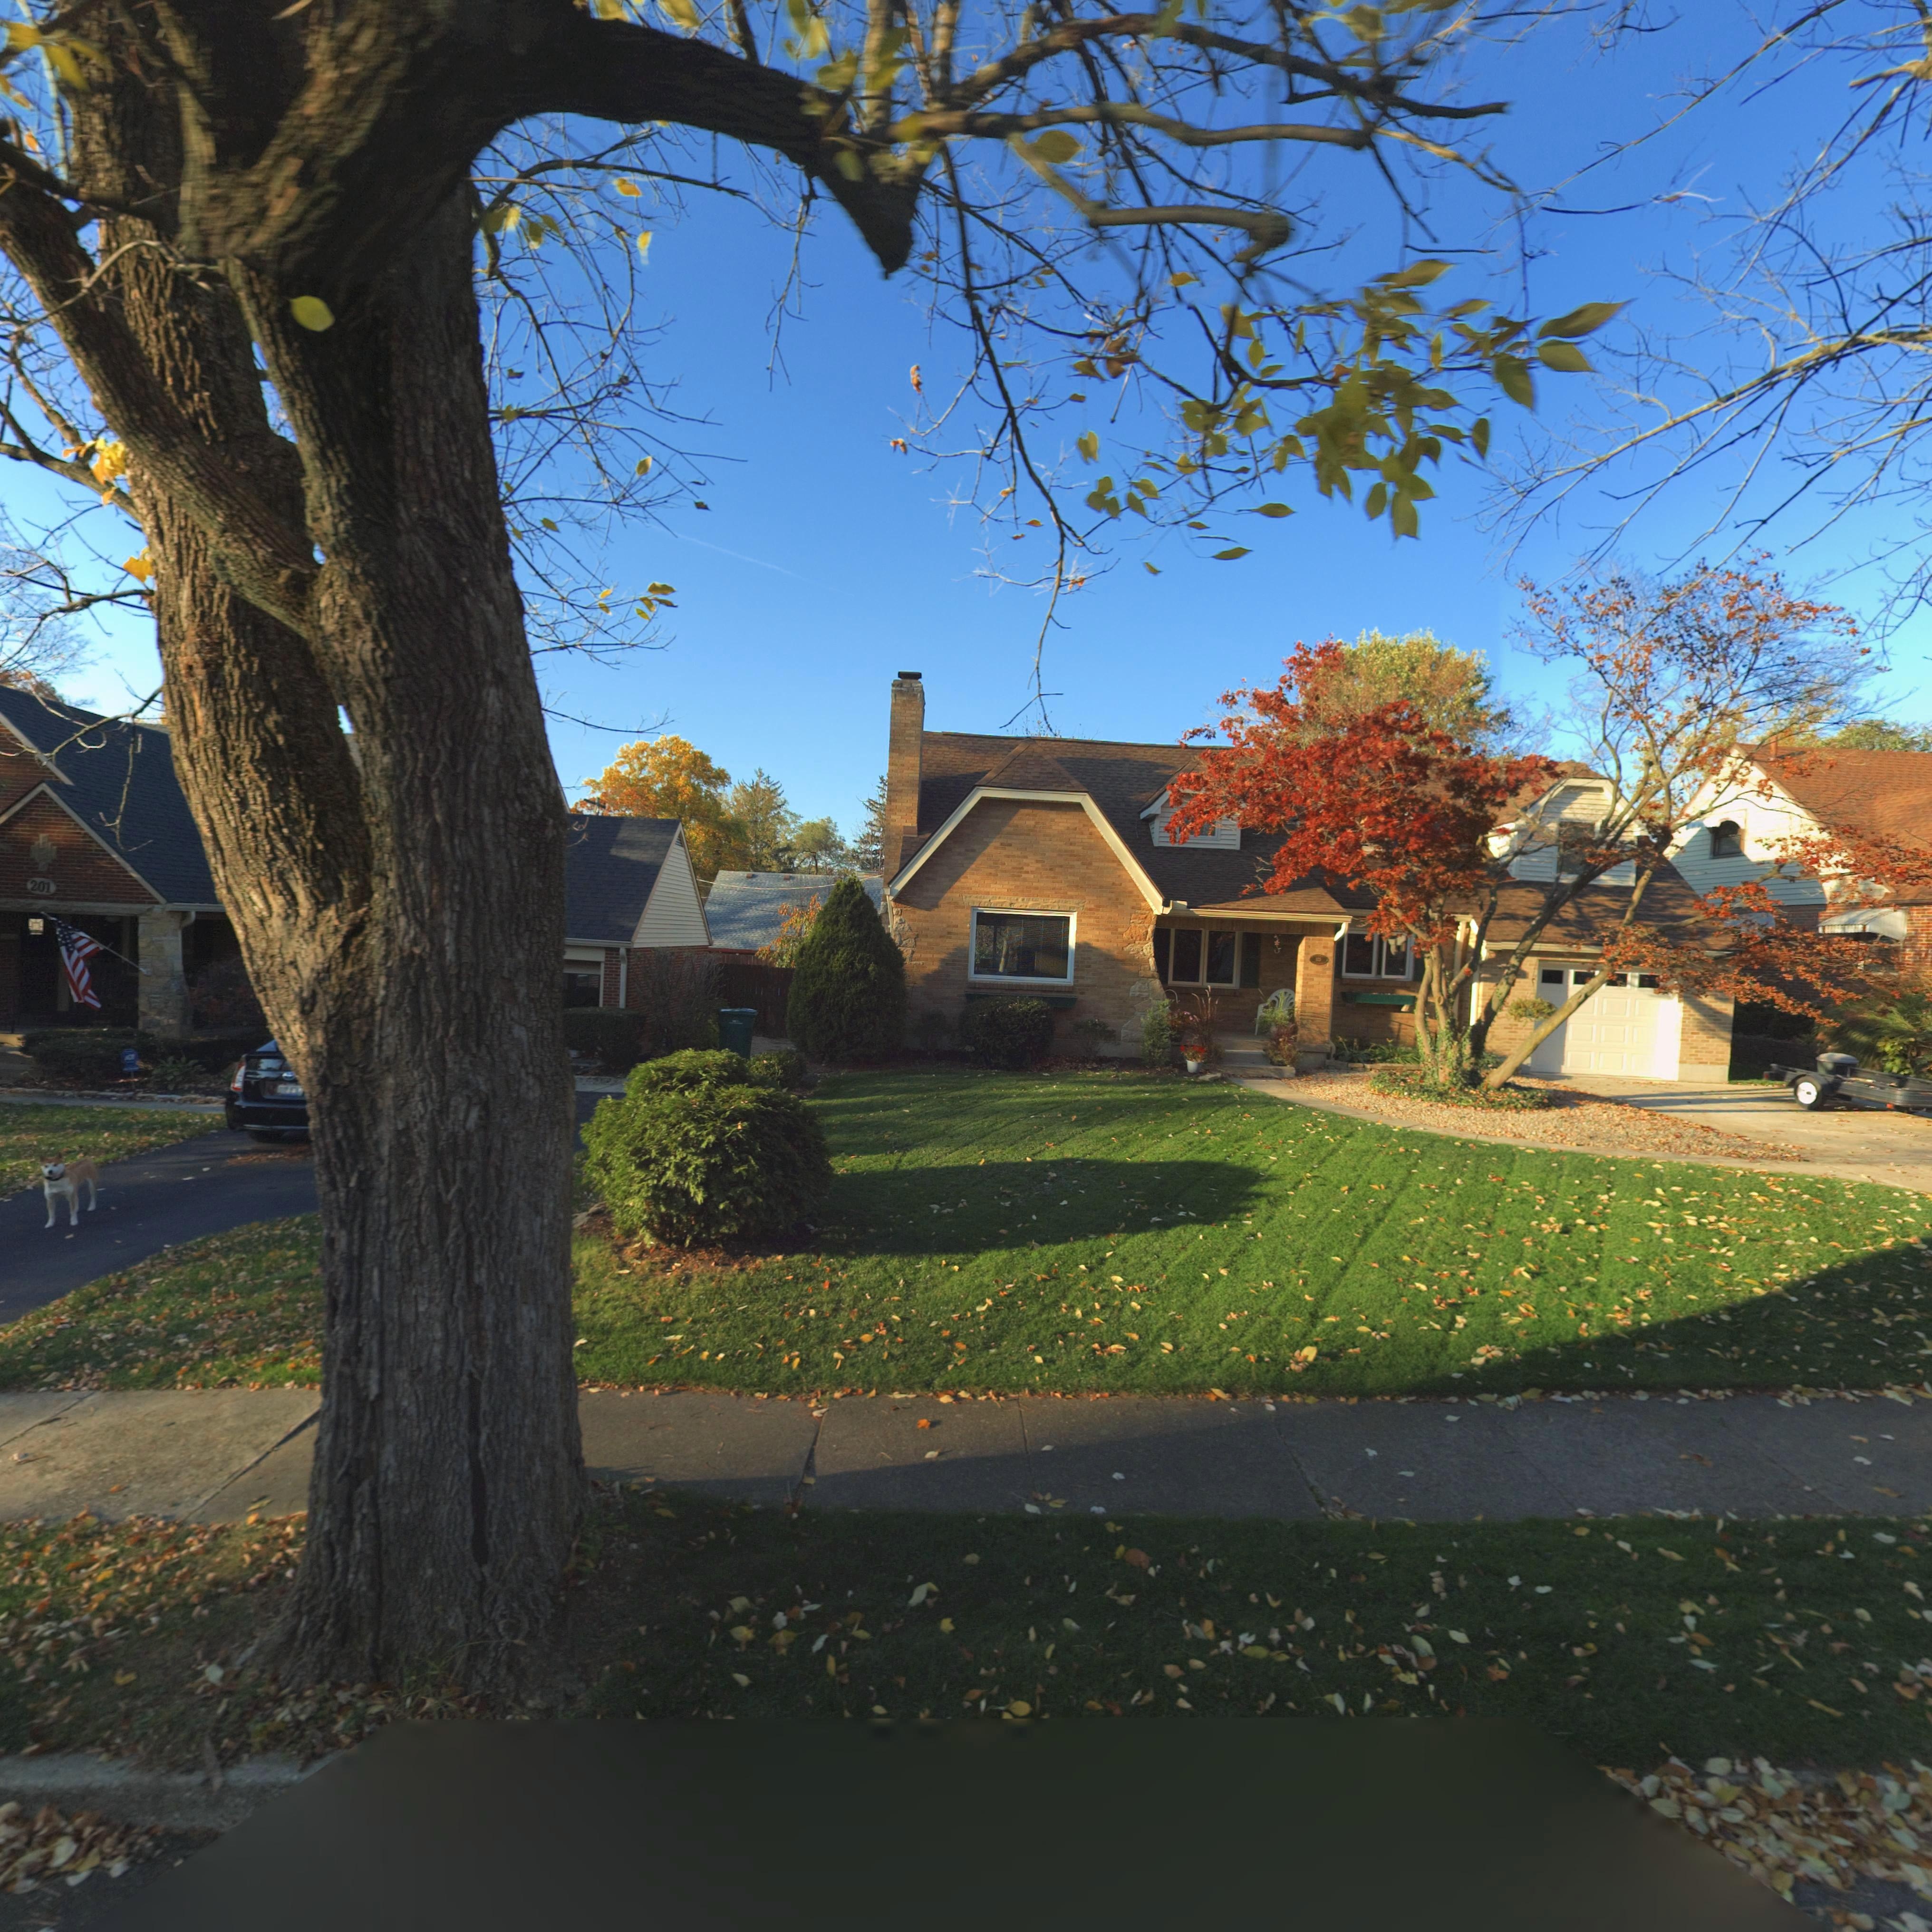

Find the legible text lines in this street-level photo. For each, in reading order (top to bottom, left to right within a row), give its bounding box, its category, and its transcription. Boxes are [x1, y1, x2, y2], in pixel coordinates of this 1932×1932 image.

[29, 879, 52, 894] StreetNumber: 201